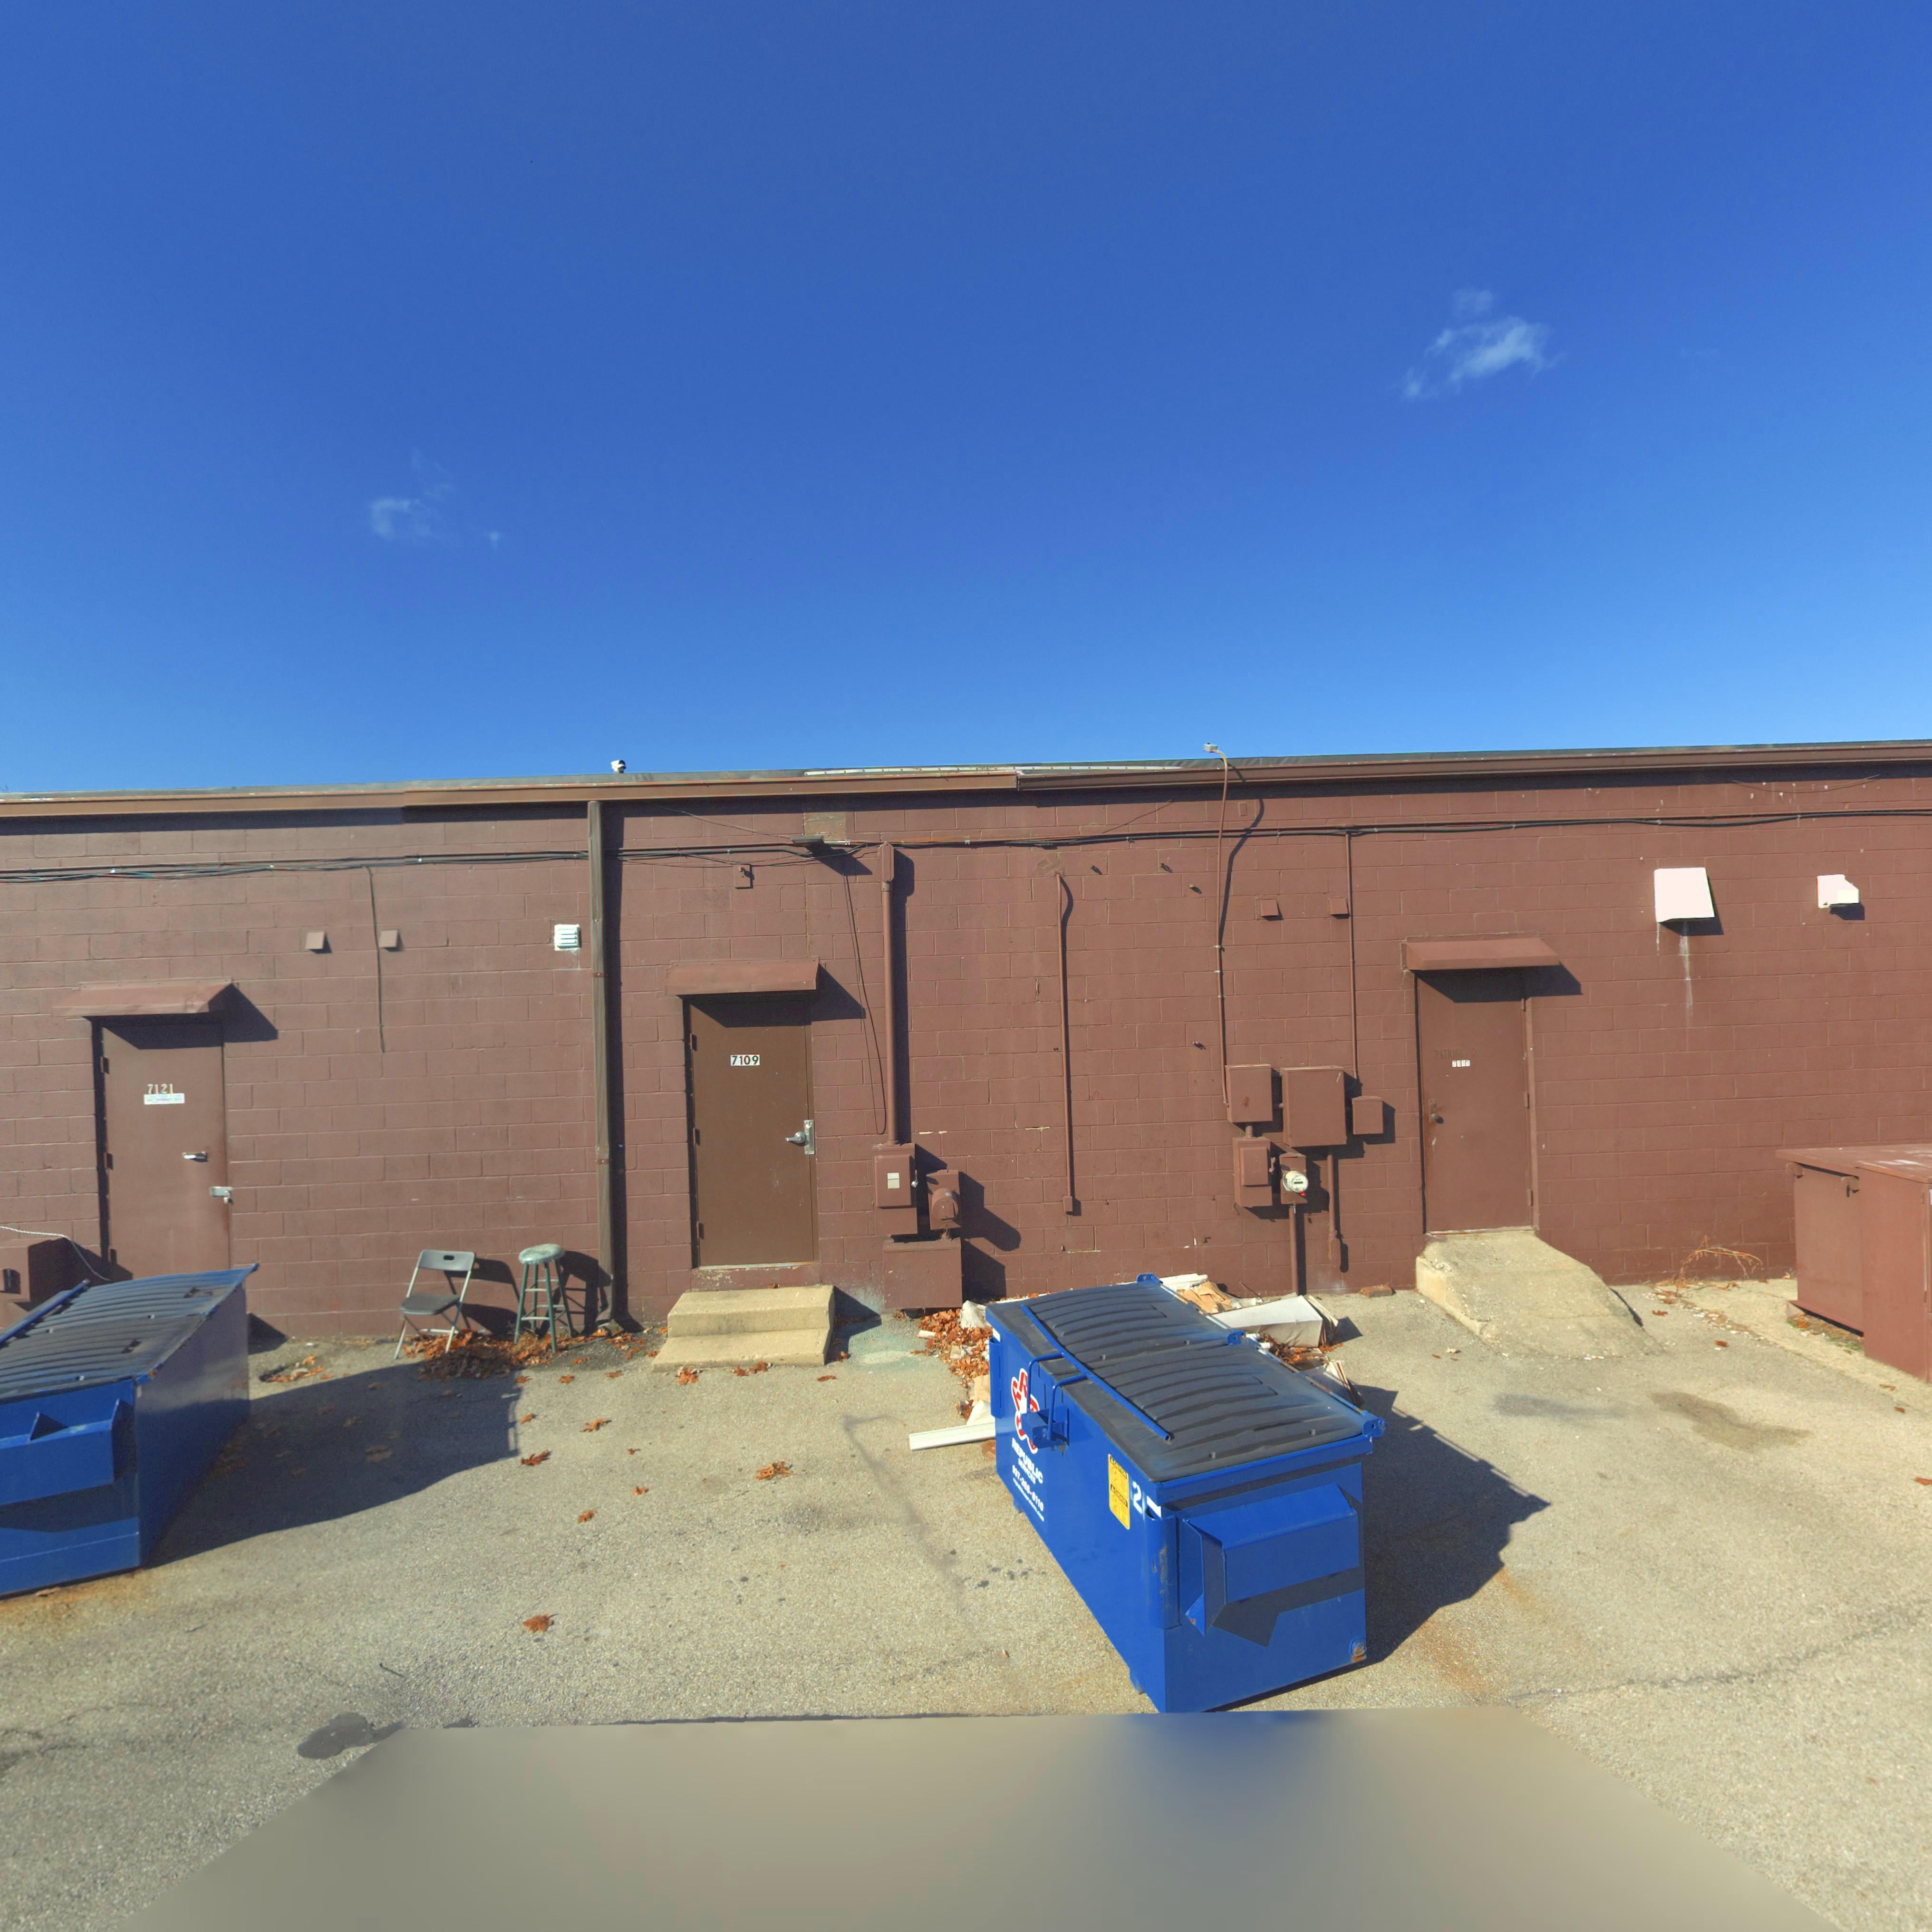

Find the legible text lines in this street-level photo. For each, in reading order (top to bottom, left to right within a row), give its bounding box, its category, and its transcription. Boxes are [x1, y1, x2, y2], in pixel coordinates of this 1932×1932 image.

[731, 1054, 759, 1066] StreetNumber: 7109
[1452, 1060, 1470, 1067] StreetNumber: 7111
[146, 1082, 174, 1095] StreetNumber: 7121